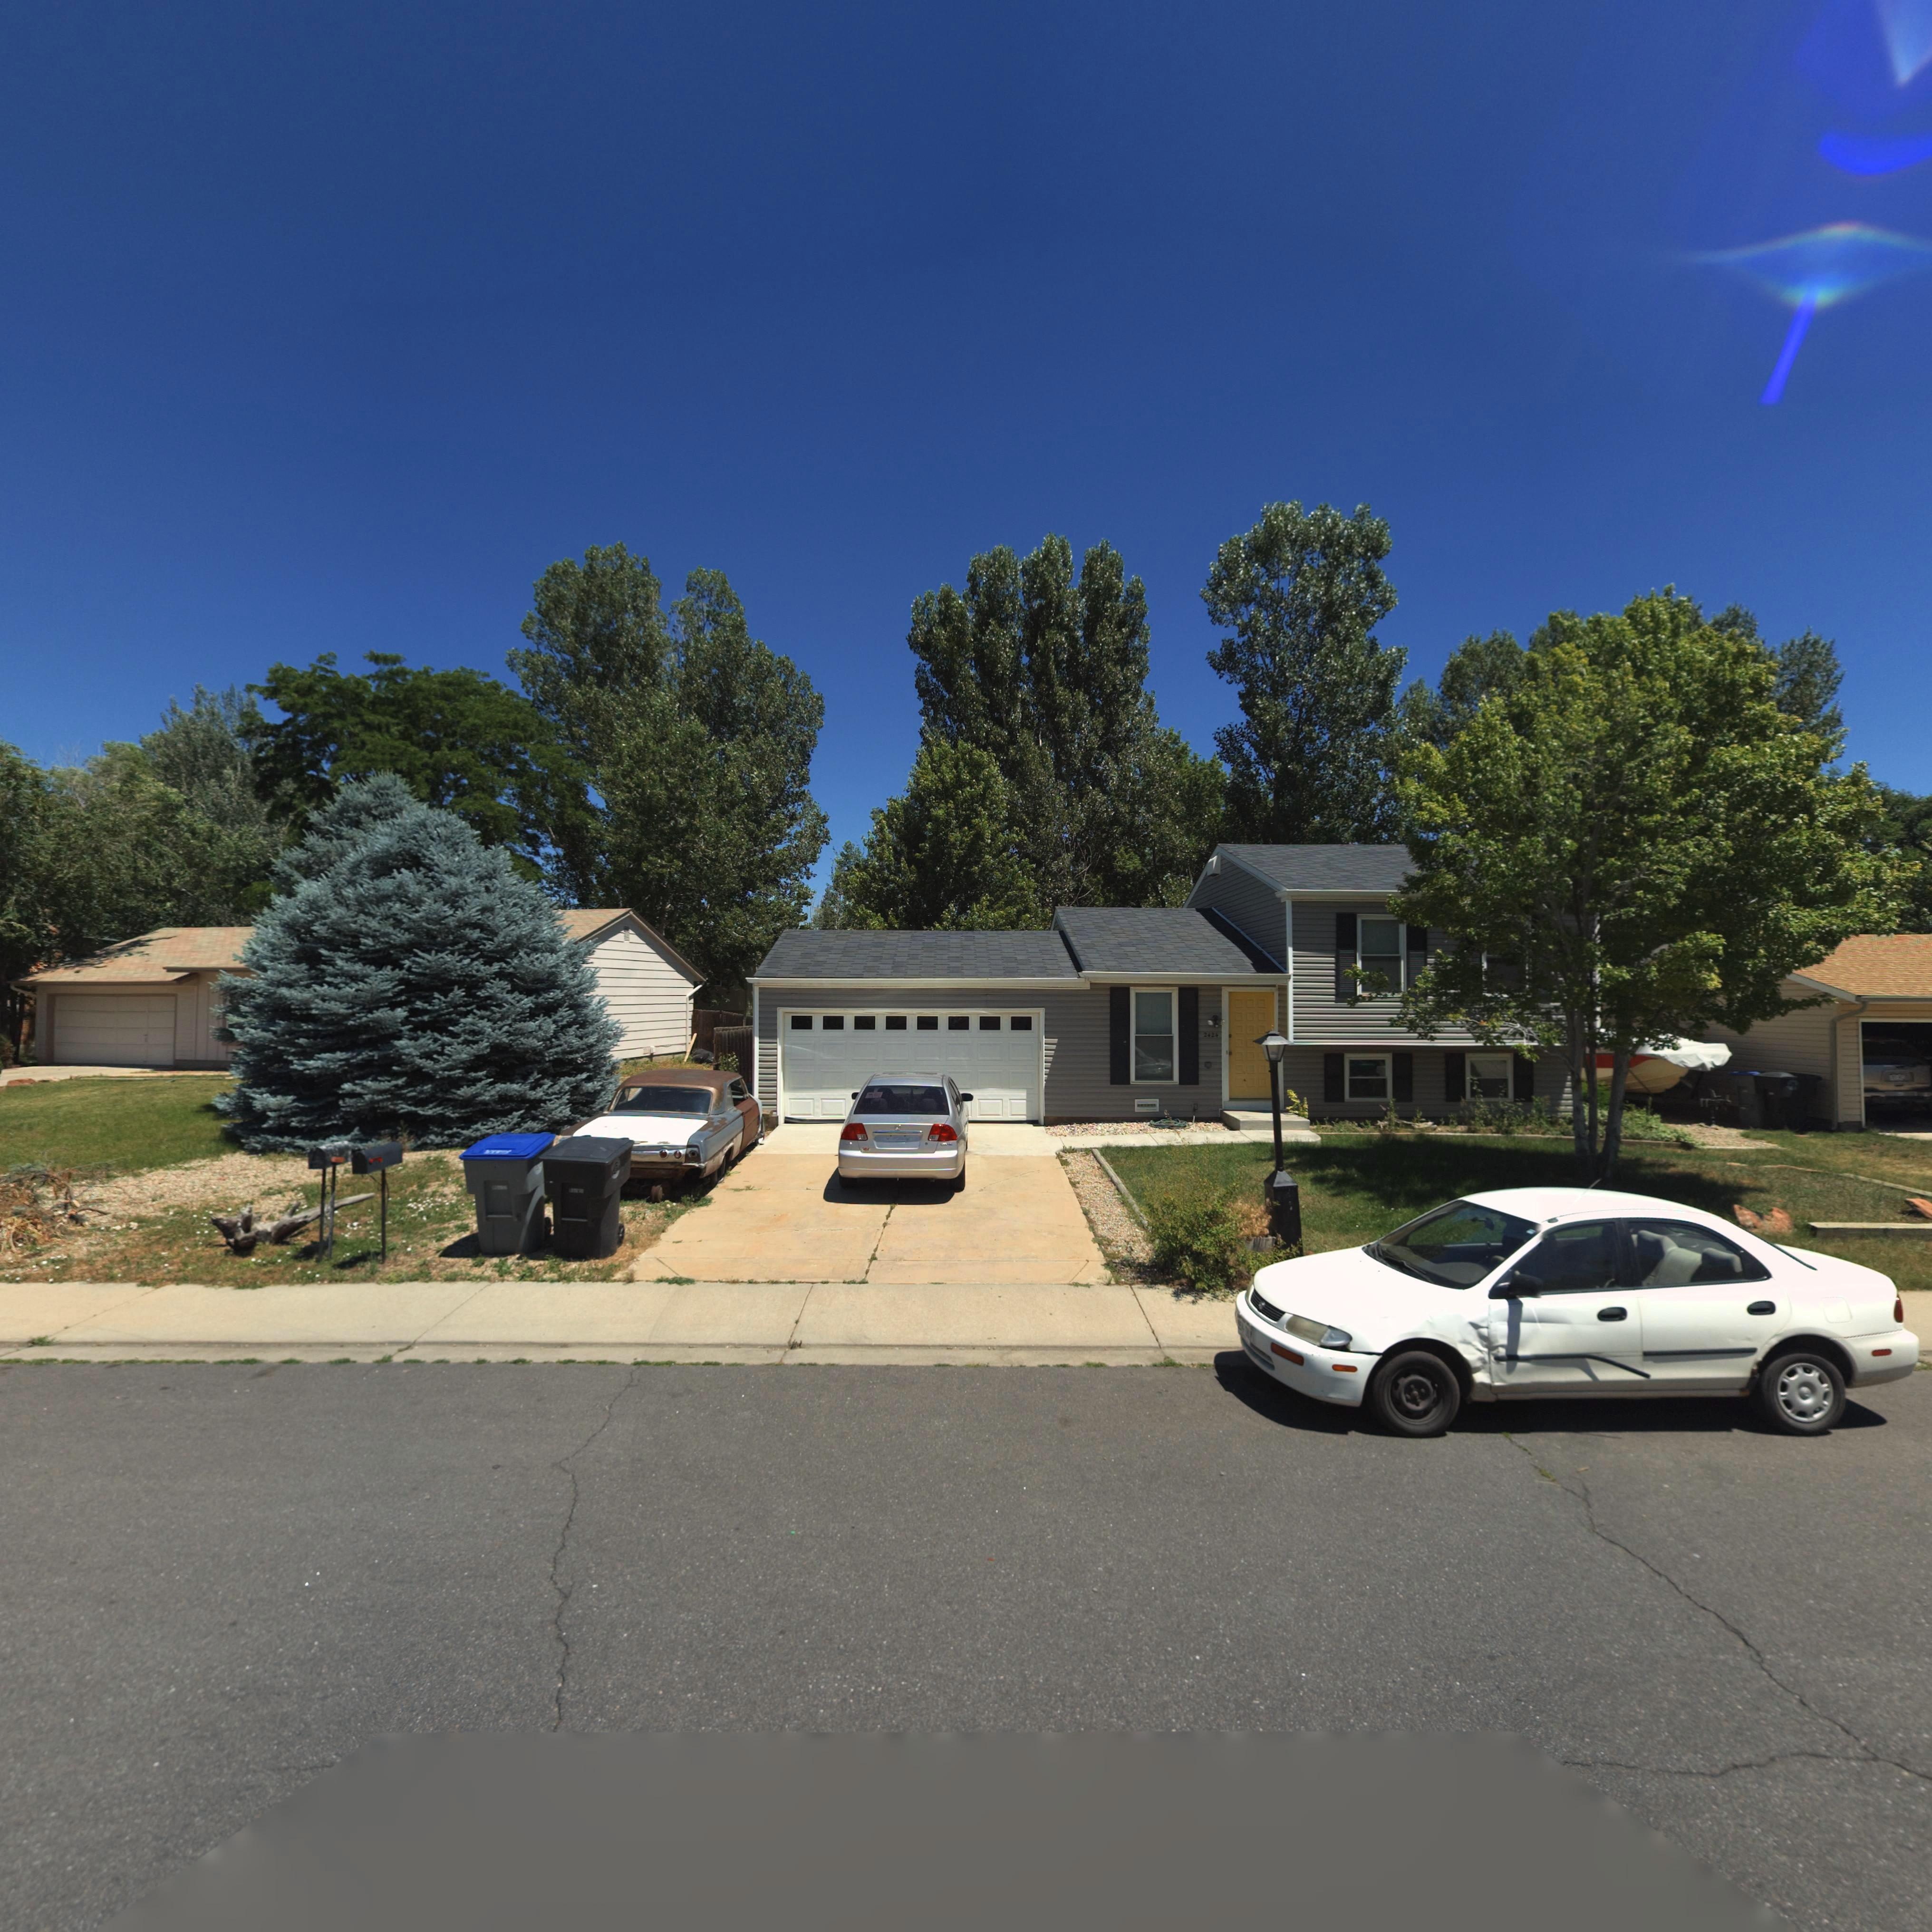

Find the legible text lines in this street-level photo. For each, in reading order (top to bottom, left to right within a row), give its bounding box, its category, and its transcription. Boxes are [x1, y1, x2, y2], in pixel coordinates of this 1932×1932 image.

[1203, 1032, 1219, 1037] StreetNumber: 2424